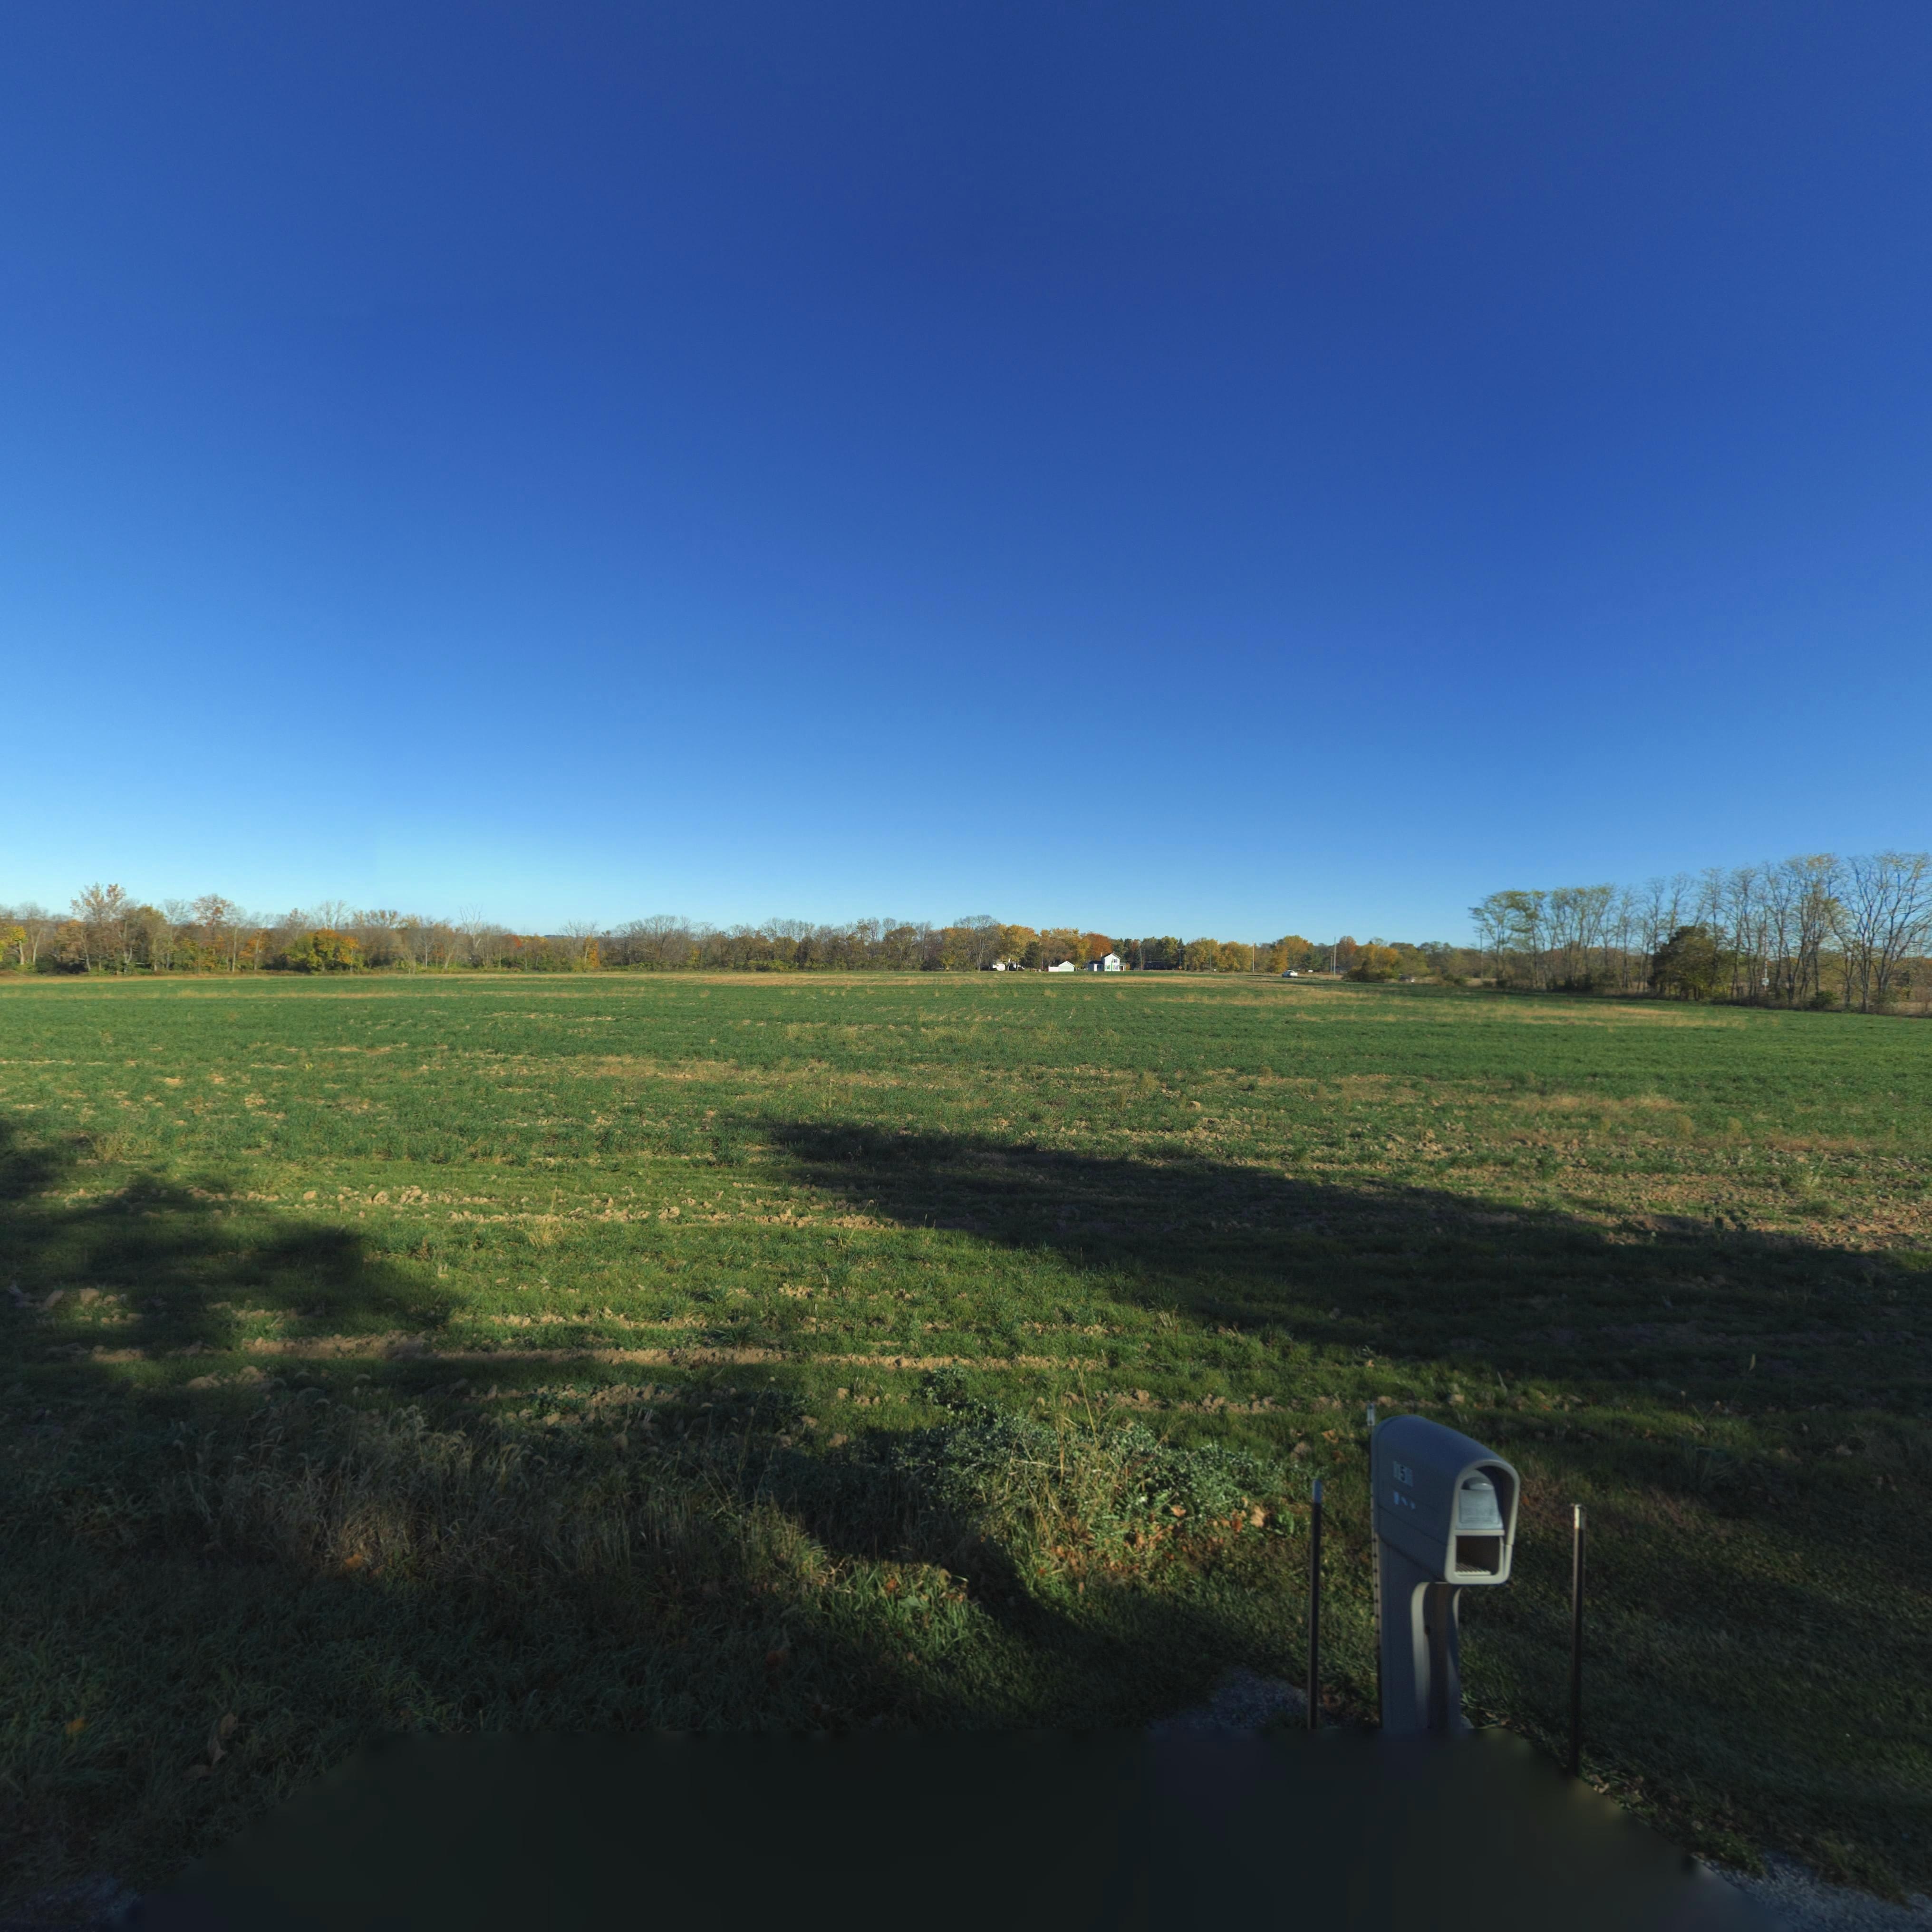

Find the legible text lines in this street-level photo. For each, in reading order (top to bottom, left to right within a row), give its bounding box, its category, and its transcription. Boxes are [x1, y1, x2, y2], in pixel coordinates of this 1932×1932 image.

[1393, 1460, 1413, 1488] StreetNumber: *5*